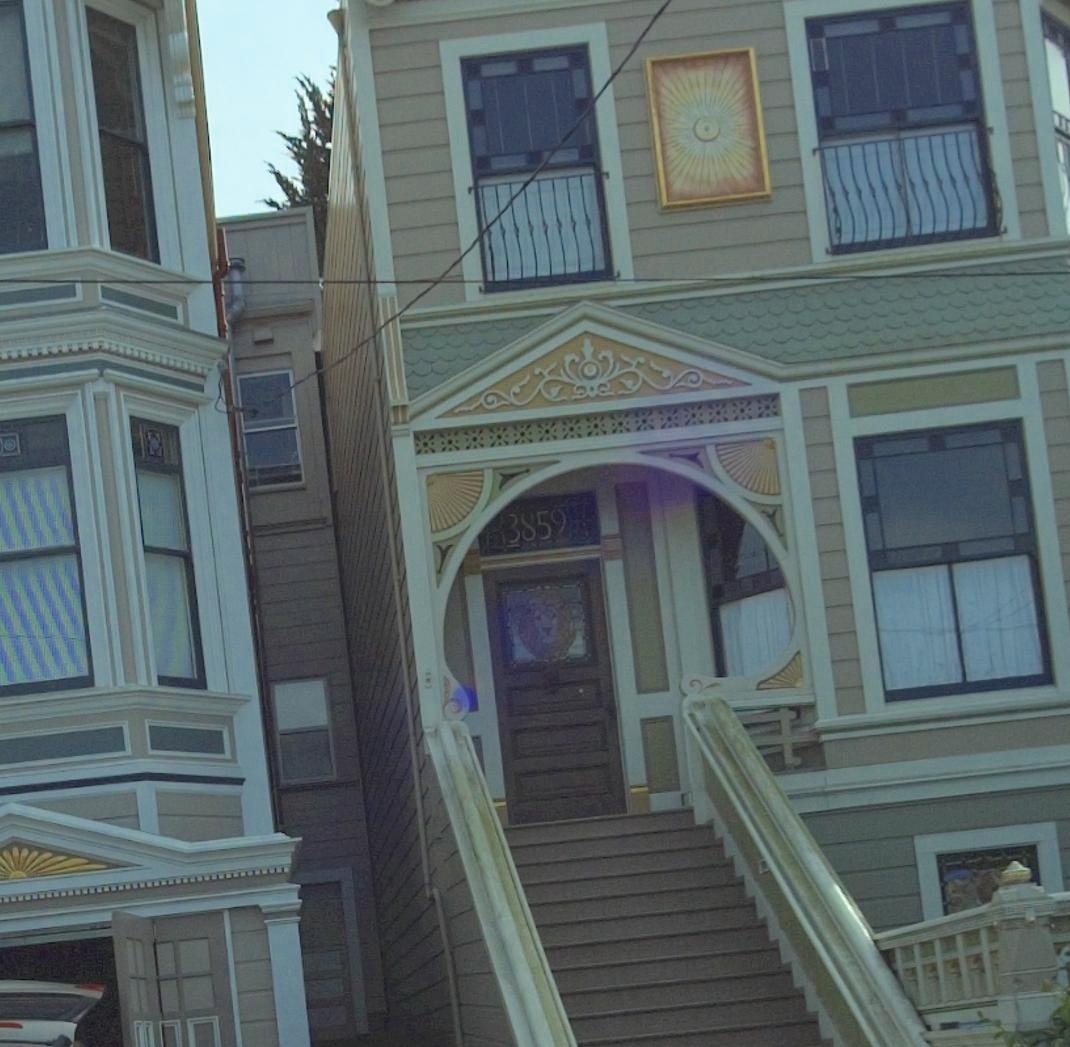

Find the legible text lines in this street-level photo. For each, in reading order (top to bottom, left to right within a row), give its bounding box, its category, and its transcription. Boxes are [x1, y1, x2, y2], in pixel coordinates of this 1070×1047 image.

[505, 505, 571, 545] StreetNumber: 3859